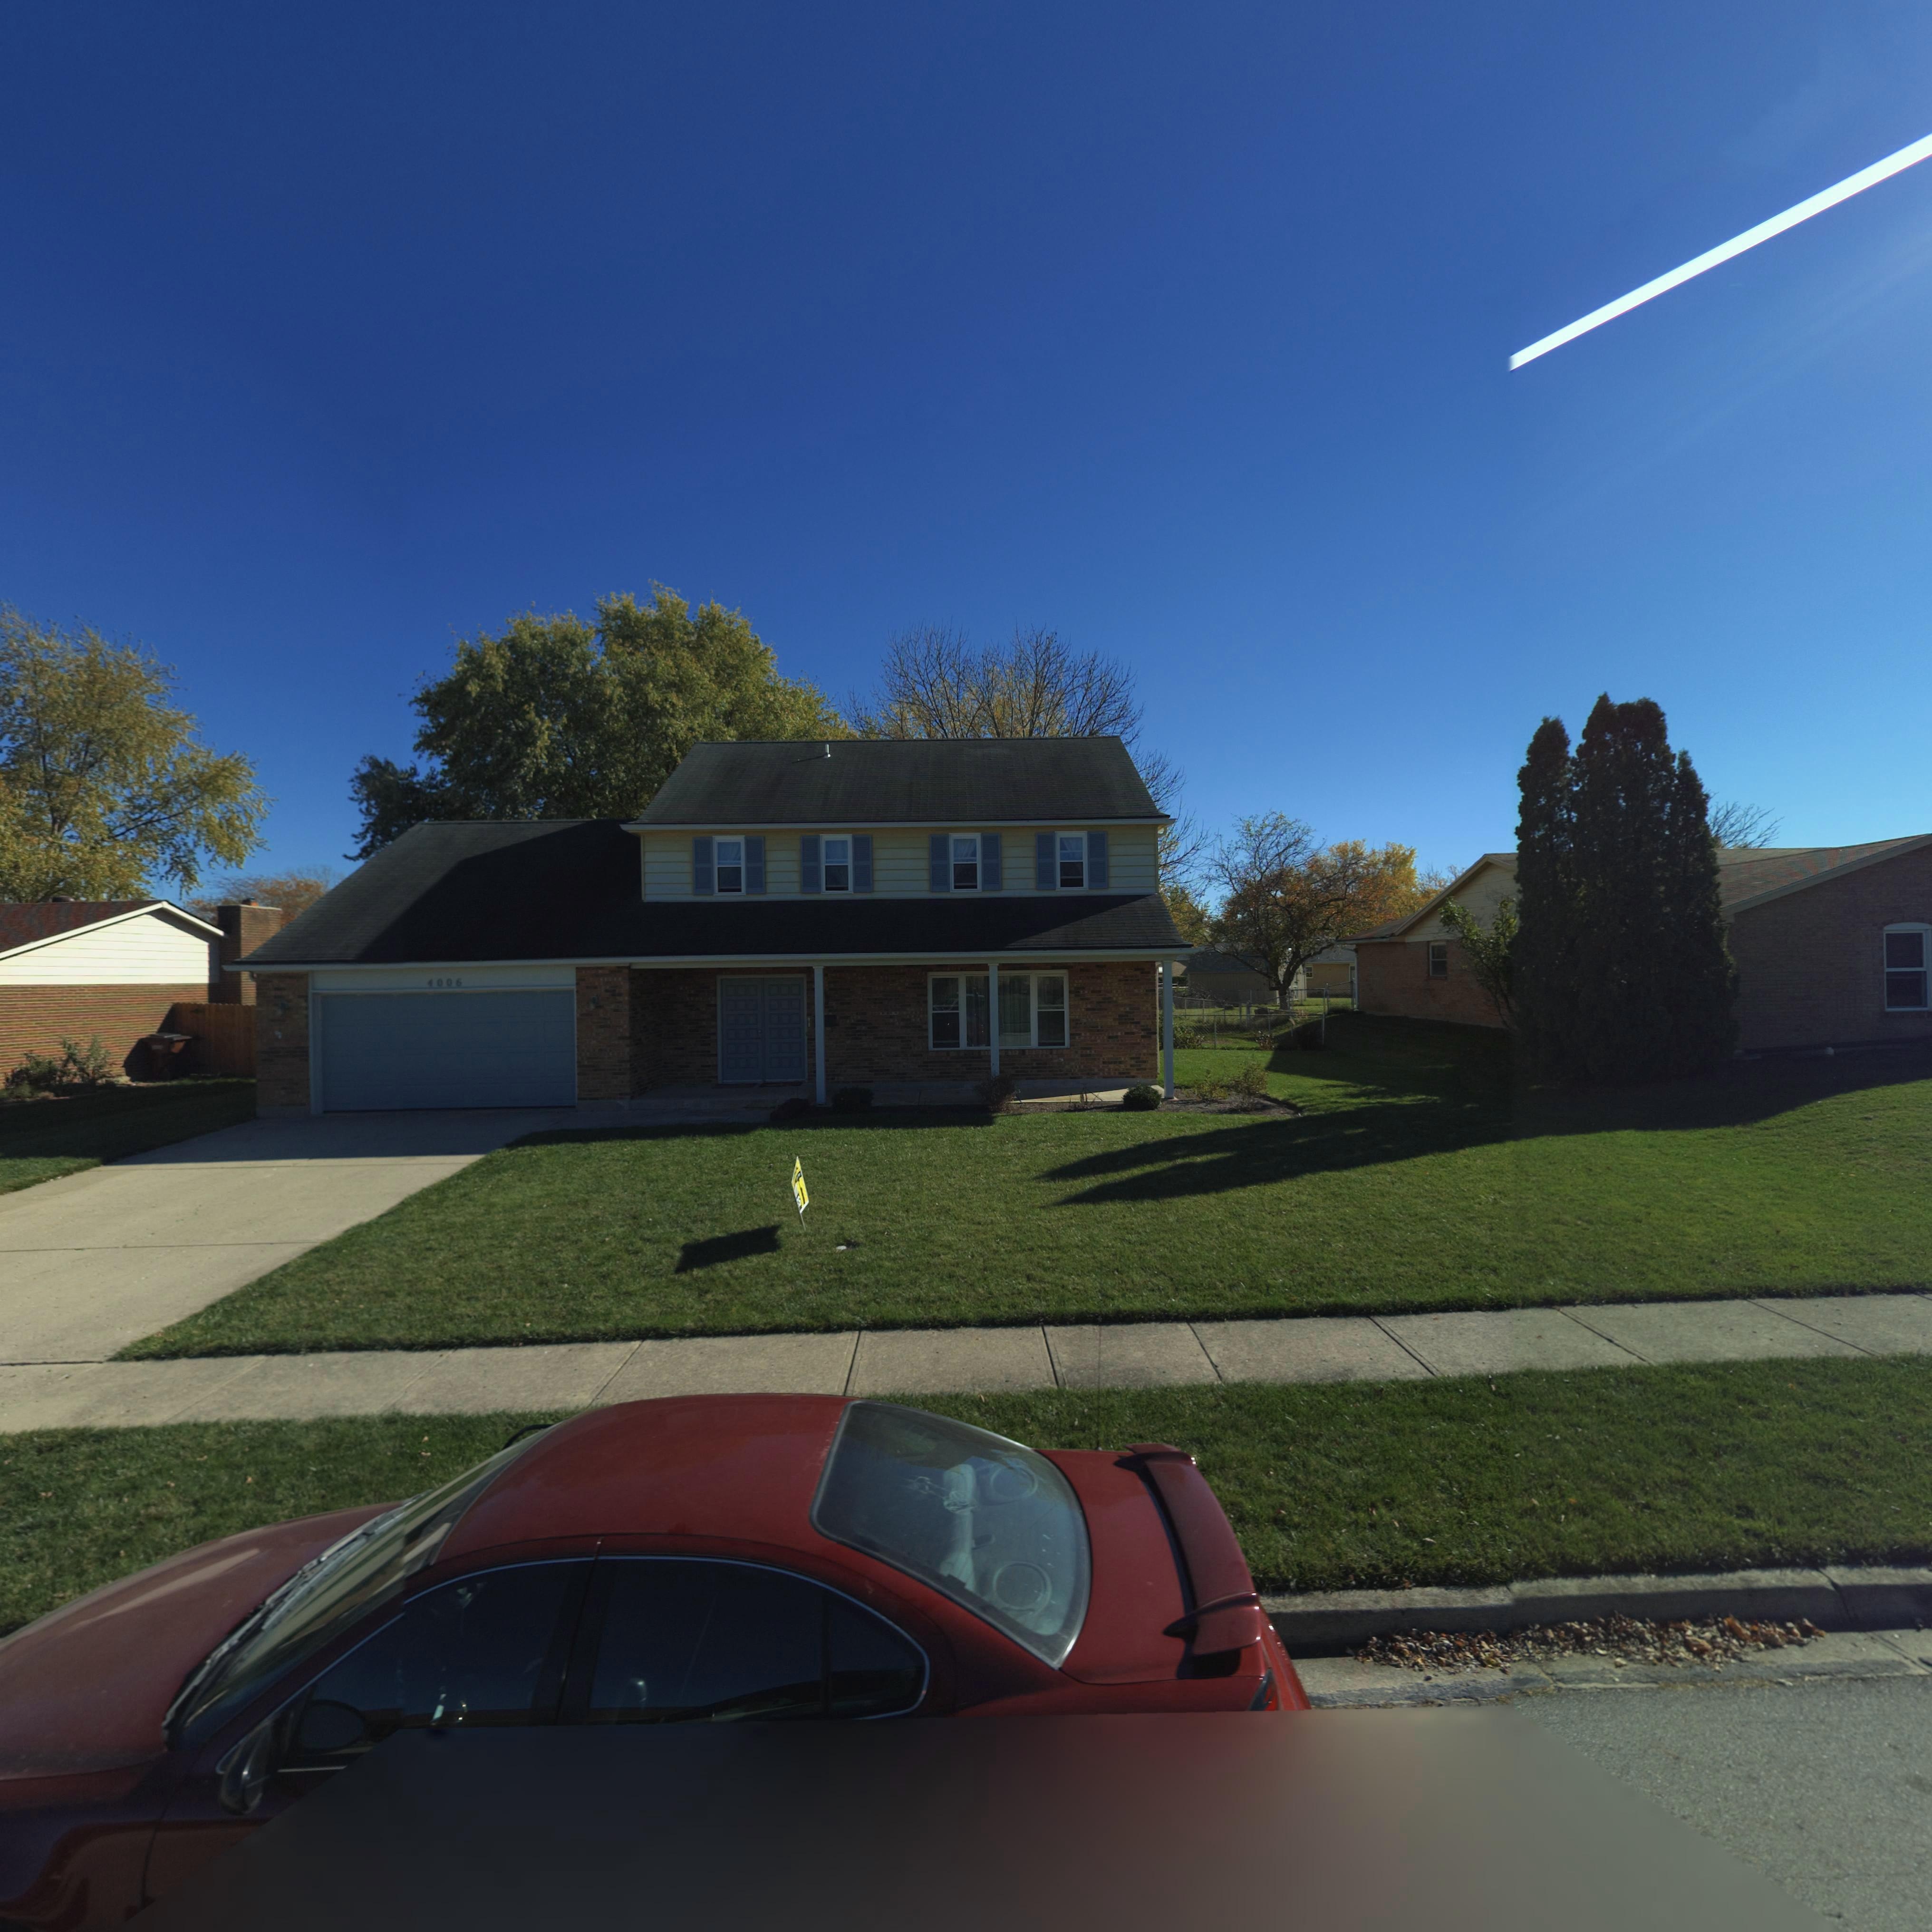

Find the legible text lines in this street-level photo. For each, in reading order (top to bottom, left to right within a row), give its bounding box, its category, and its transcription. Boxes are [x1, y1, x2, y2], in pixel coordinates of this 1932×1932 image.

[426, 977, 463, 988] StreetNumber: 4006